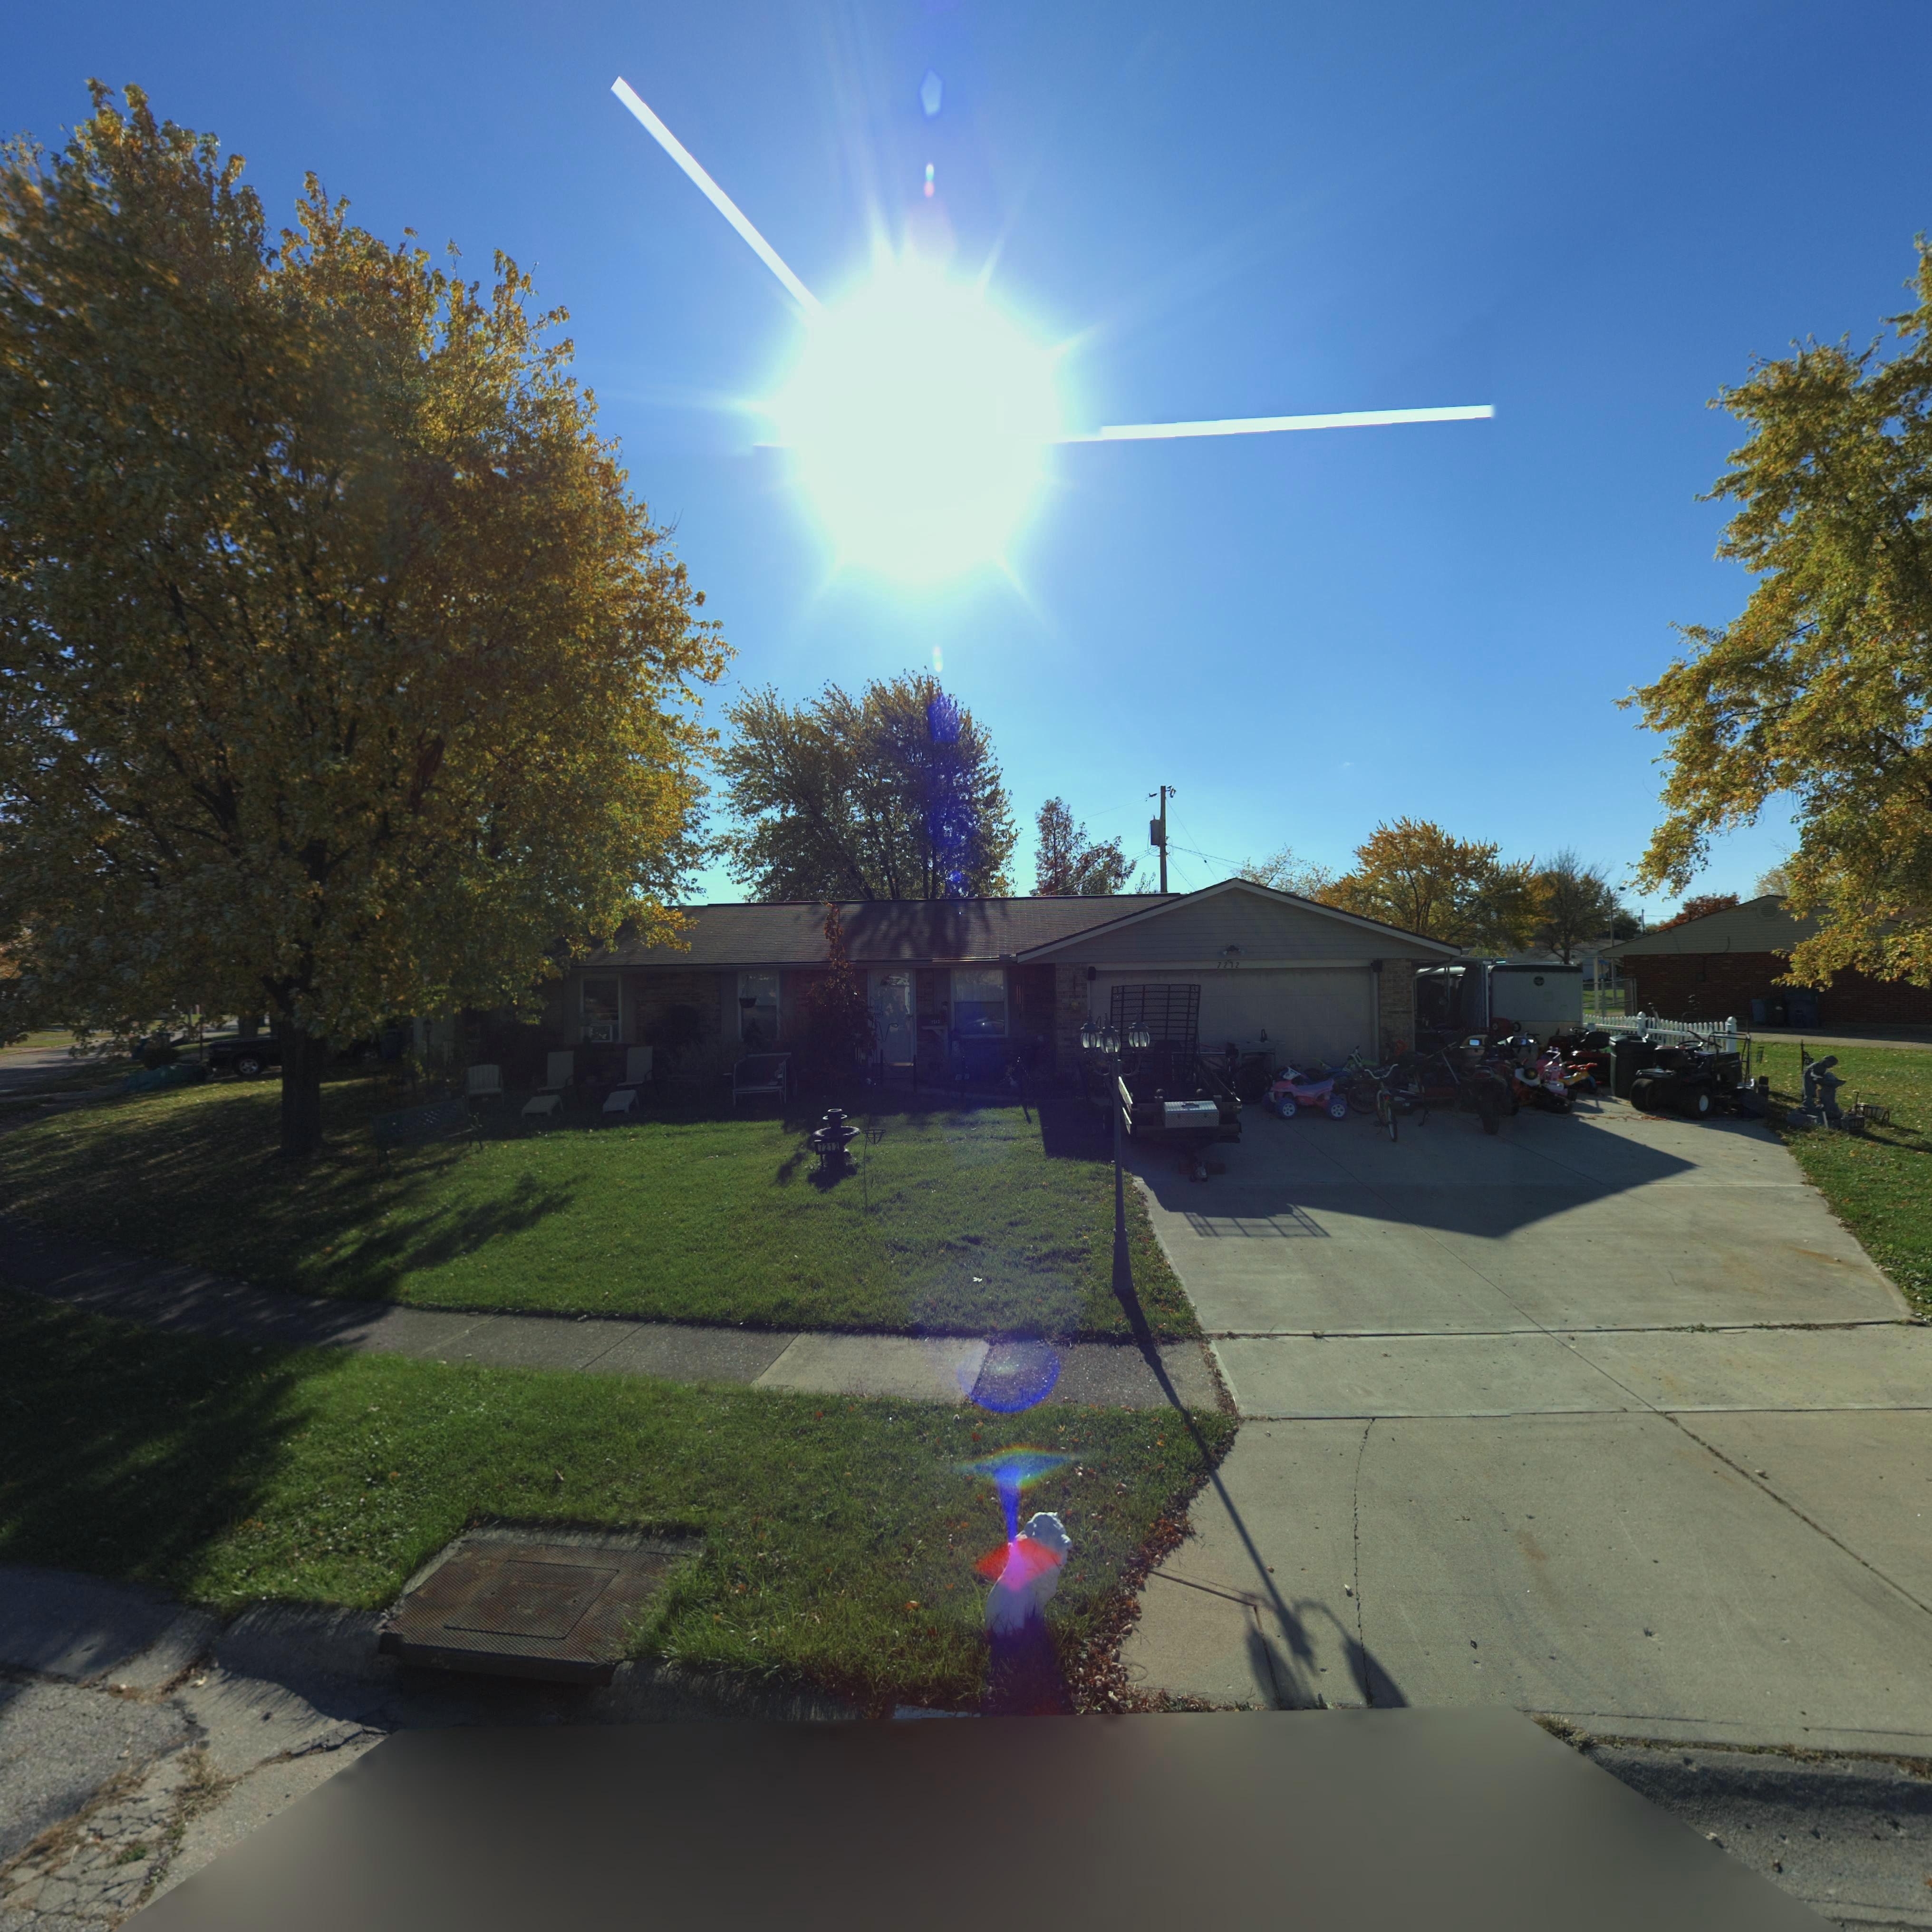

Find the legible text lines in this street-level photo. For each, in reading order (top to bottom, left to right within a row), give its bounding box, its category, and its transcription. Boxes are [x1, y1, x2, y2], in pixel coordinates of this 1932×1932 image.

[1216, 961, 1240, 969] StreetNumber: 7212
[929, 1019, 941, 1025] StreetNumber: 7*1*
[819, 1141, 840, 1152] StreetNumber: 7212